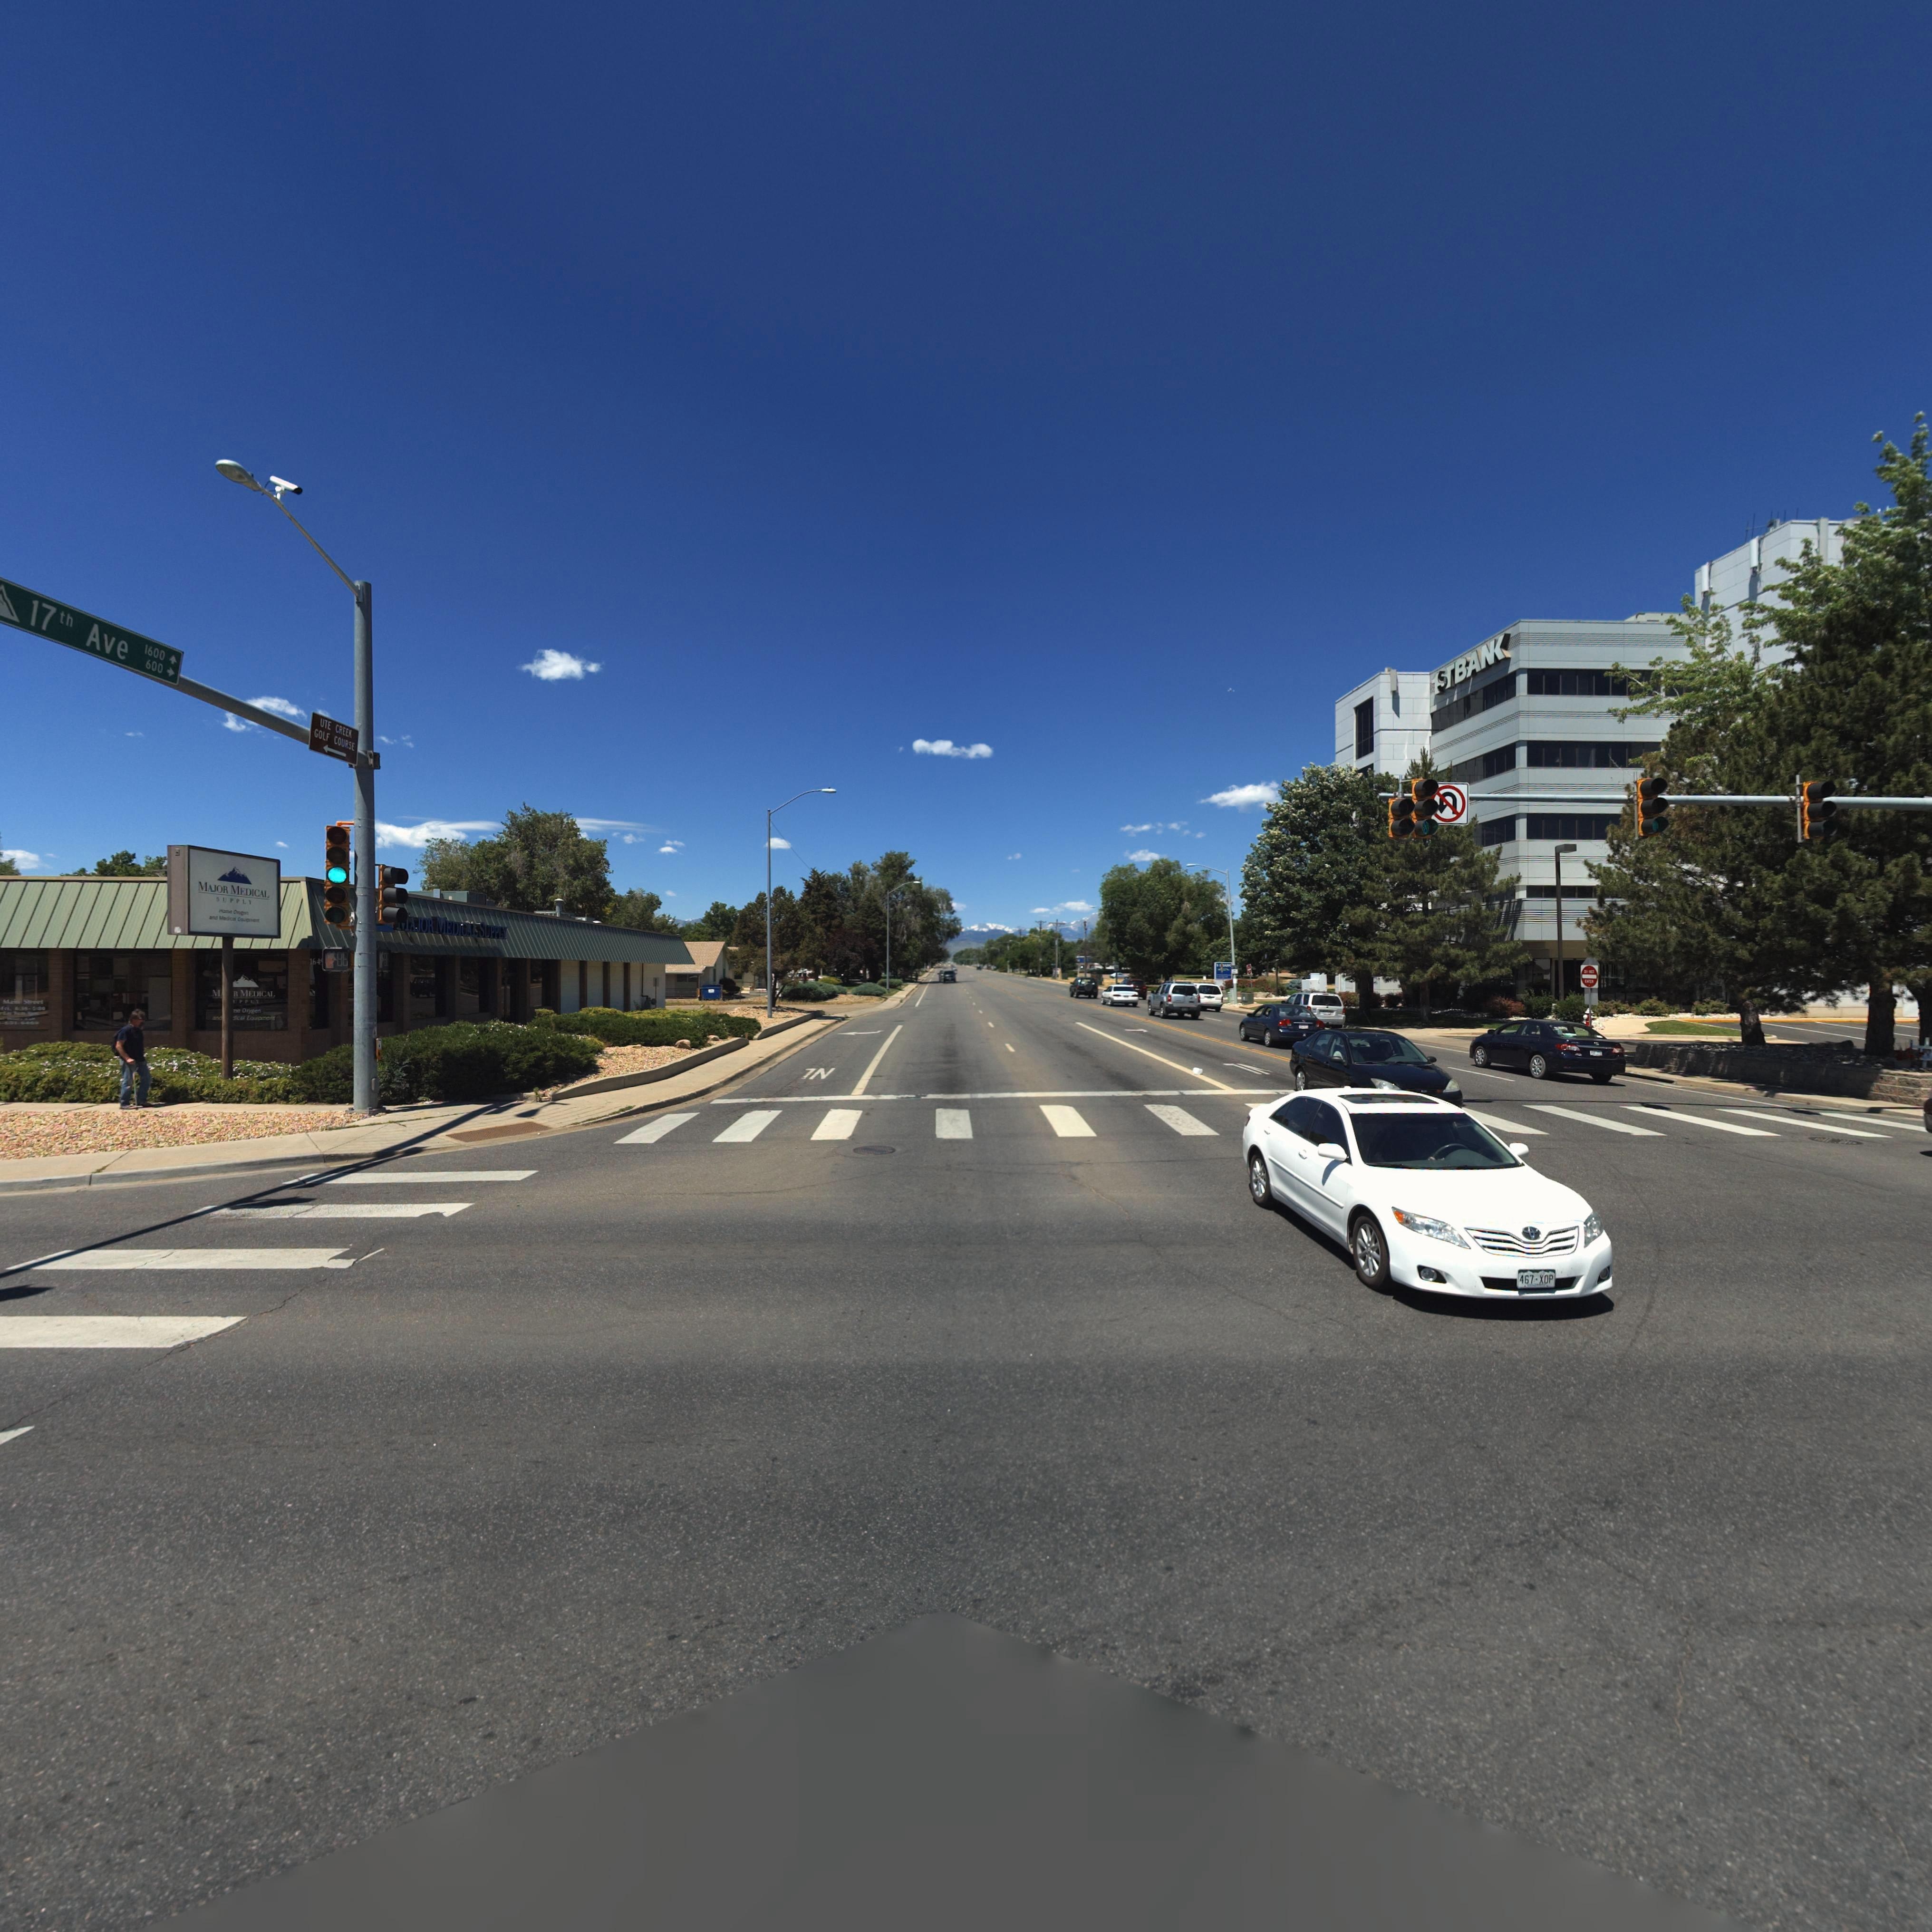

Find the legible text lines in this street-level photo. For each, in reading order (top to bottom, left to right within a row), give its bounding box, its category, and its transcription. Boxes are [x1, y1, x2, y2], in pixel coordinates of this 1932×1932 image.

[29, 598, 129, 661] StreetName: 17th Ave
[143, 643, 166, 661] StreetNumberRange: 1600
[145, 658, 176, 678] StreetNumberRange: 600->
[1430, 632, 1507, 696] BusinessName: 1STBAN*
[197, 880, 270, 898] BusinessName: MAJOR MEDICAL
[215, 896, 252, 905] BusinessName: SUPPLY
[408, 915, 508, 939] BusinessName: AJOR MEDICAL SUPPLY
[310, 957, 320, 966] StreetNumber: 164
[1216, 964, 1231, 967] BusinessName: ****AN*
[2, 999, 44, 1005] StreetName: Main Street
[212, 989, 275, 997] BusinessName: M***R MEDICAL
[232, 999, 260, 1004] BusinessName: UPPLY